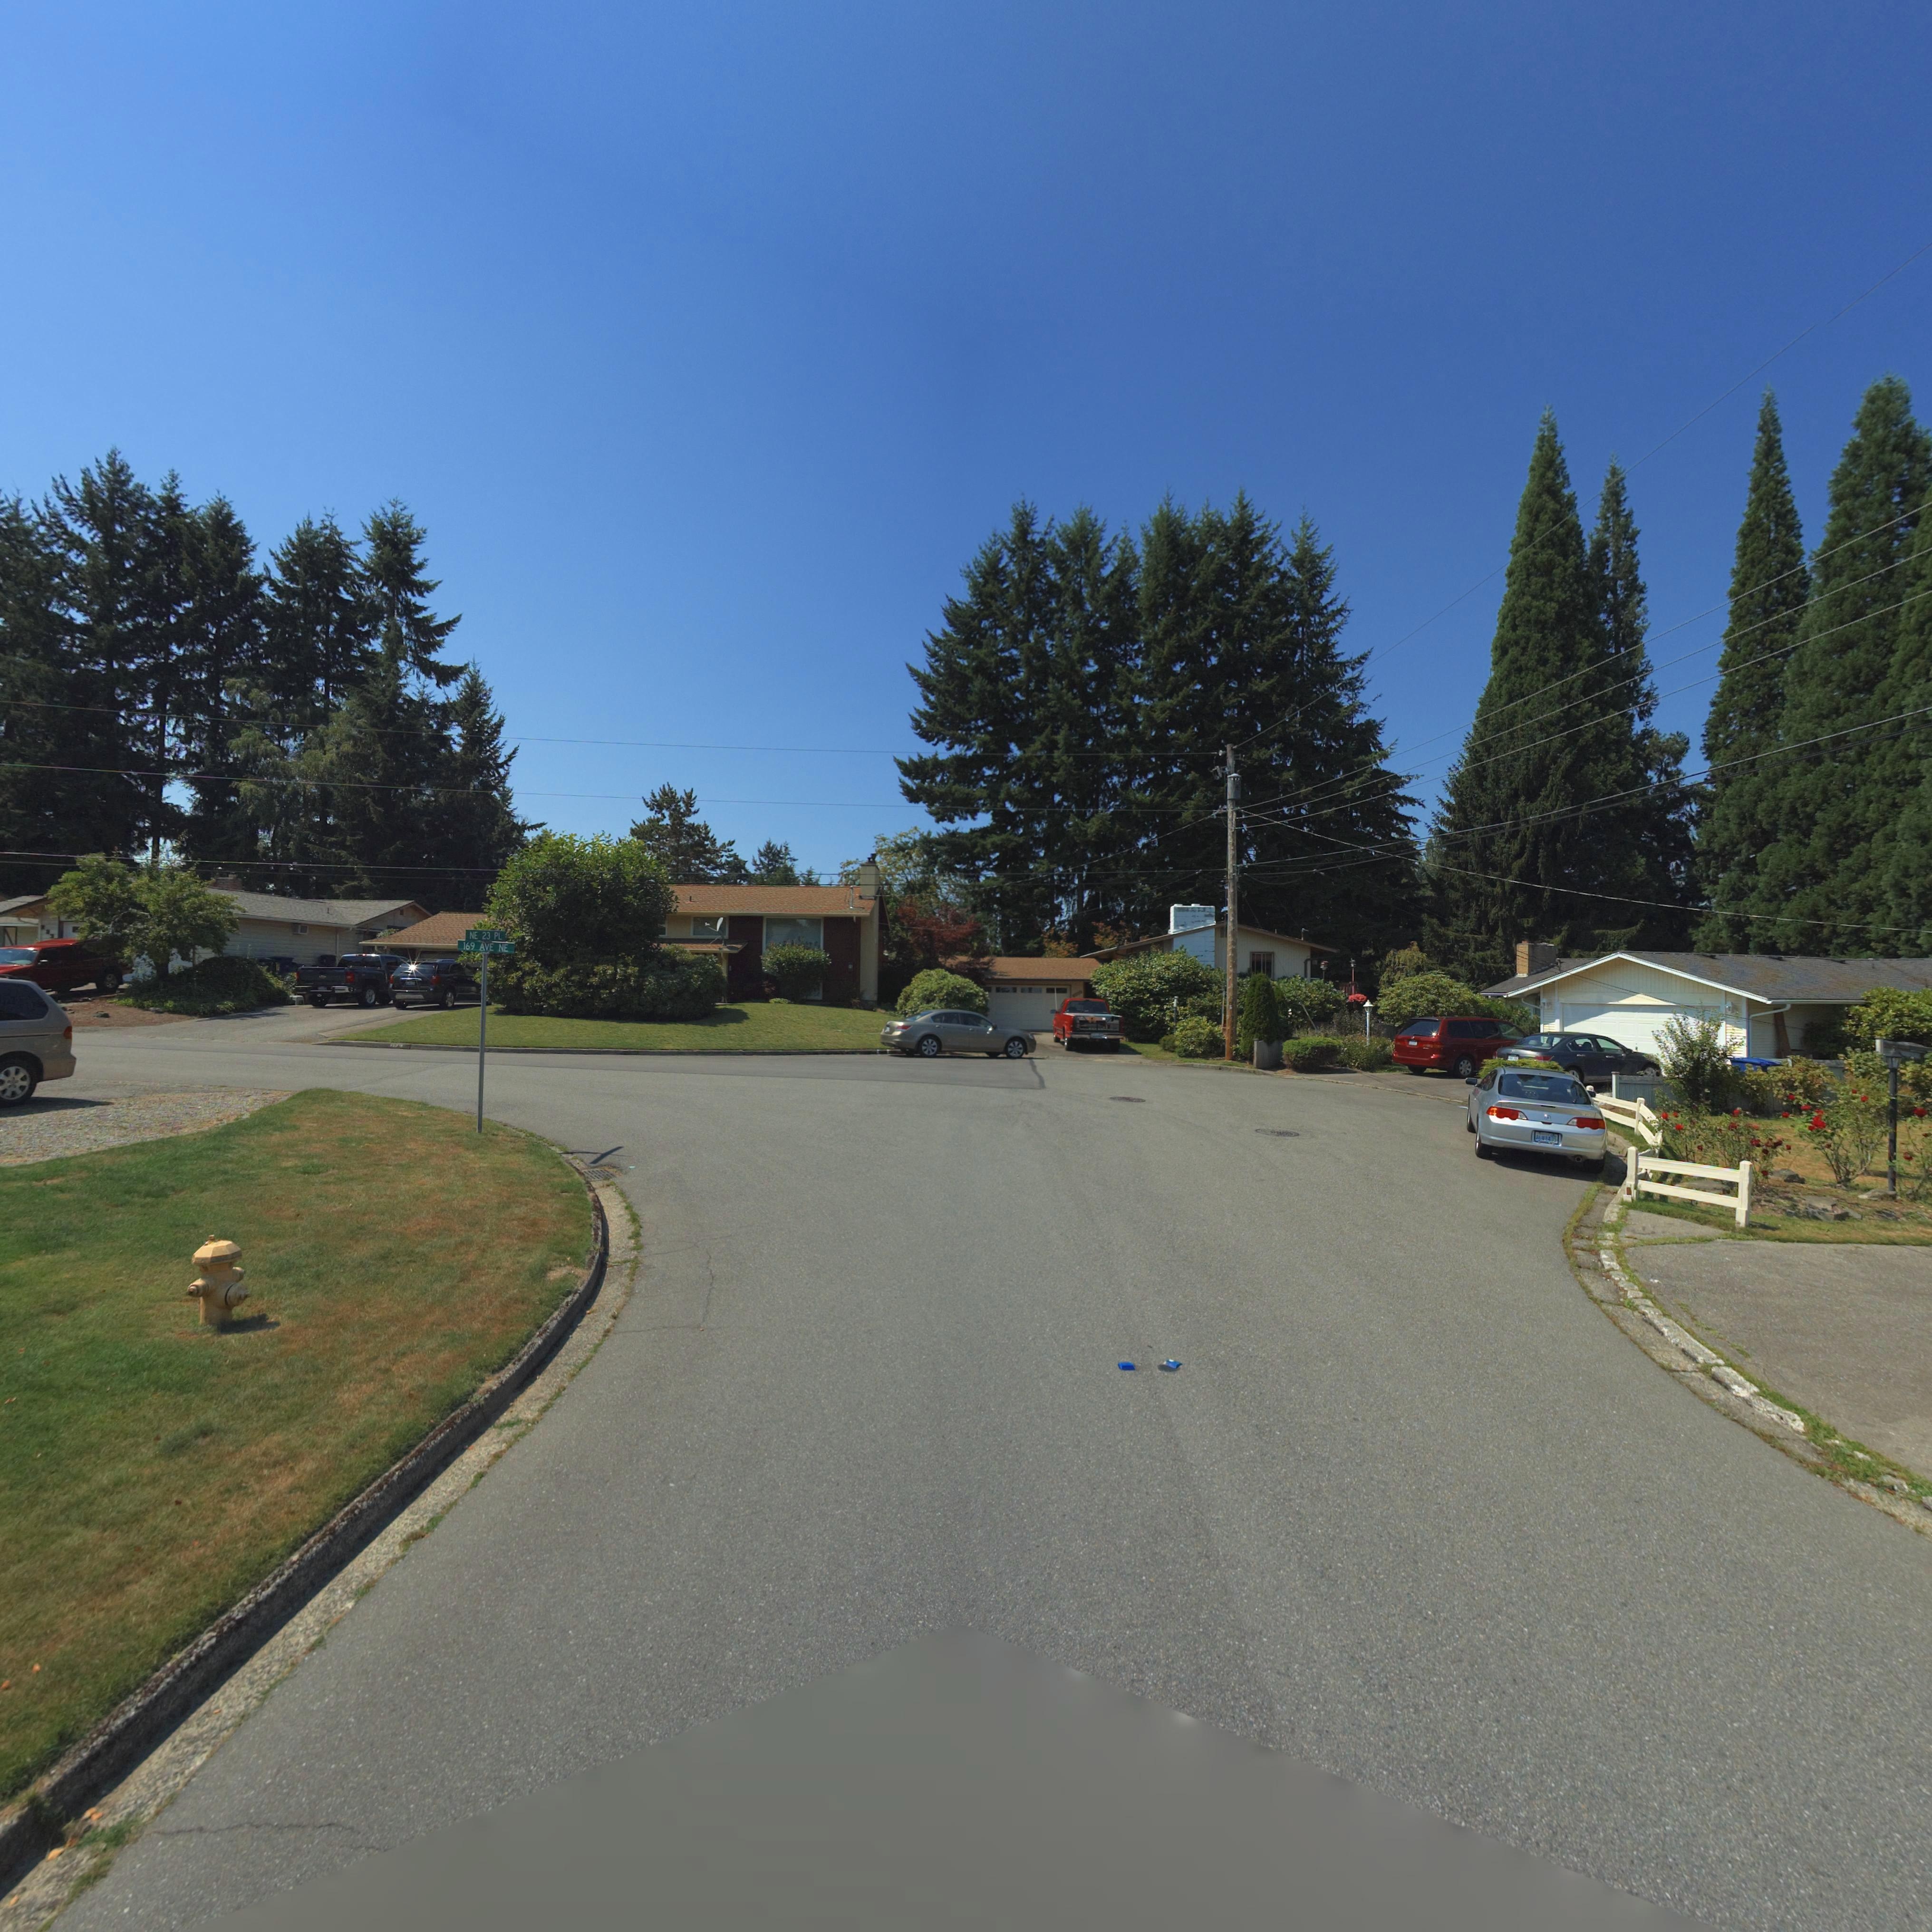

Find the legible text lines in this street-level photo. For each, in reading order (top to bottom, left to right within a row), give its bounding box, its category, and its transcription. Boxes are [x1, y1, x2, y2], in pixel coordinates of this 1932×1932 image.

[470, 931, 502, 939] StreetName: NE 23 PL
[463, 942, 508, 952] StreetName: 169 AVE NE